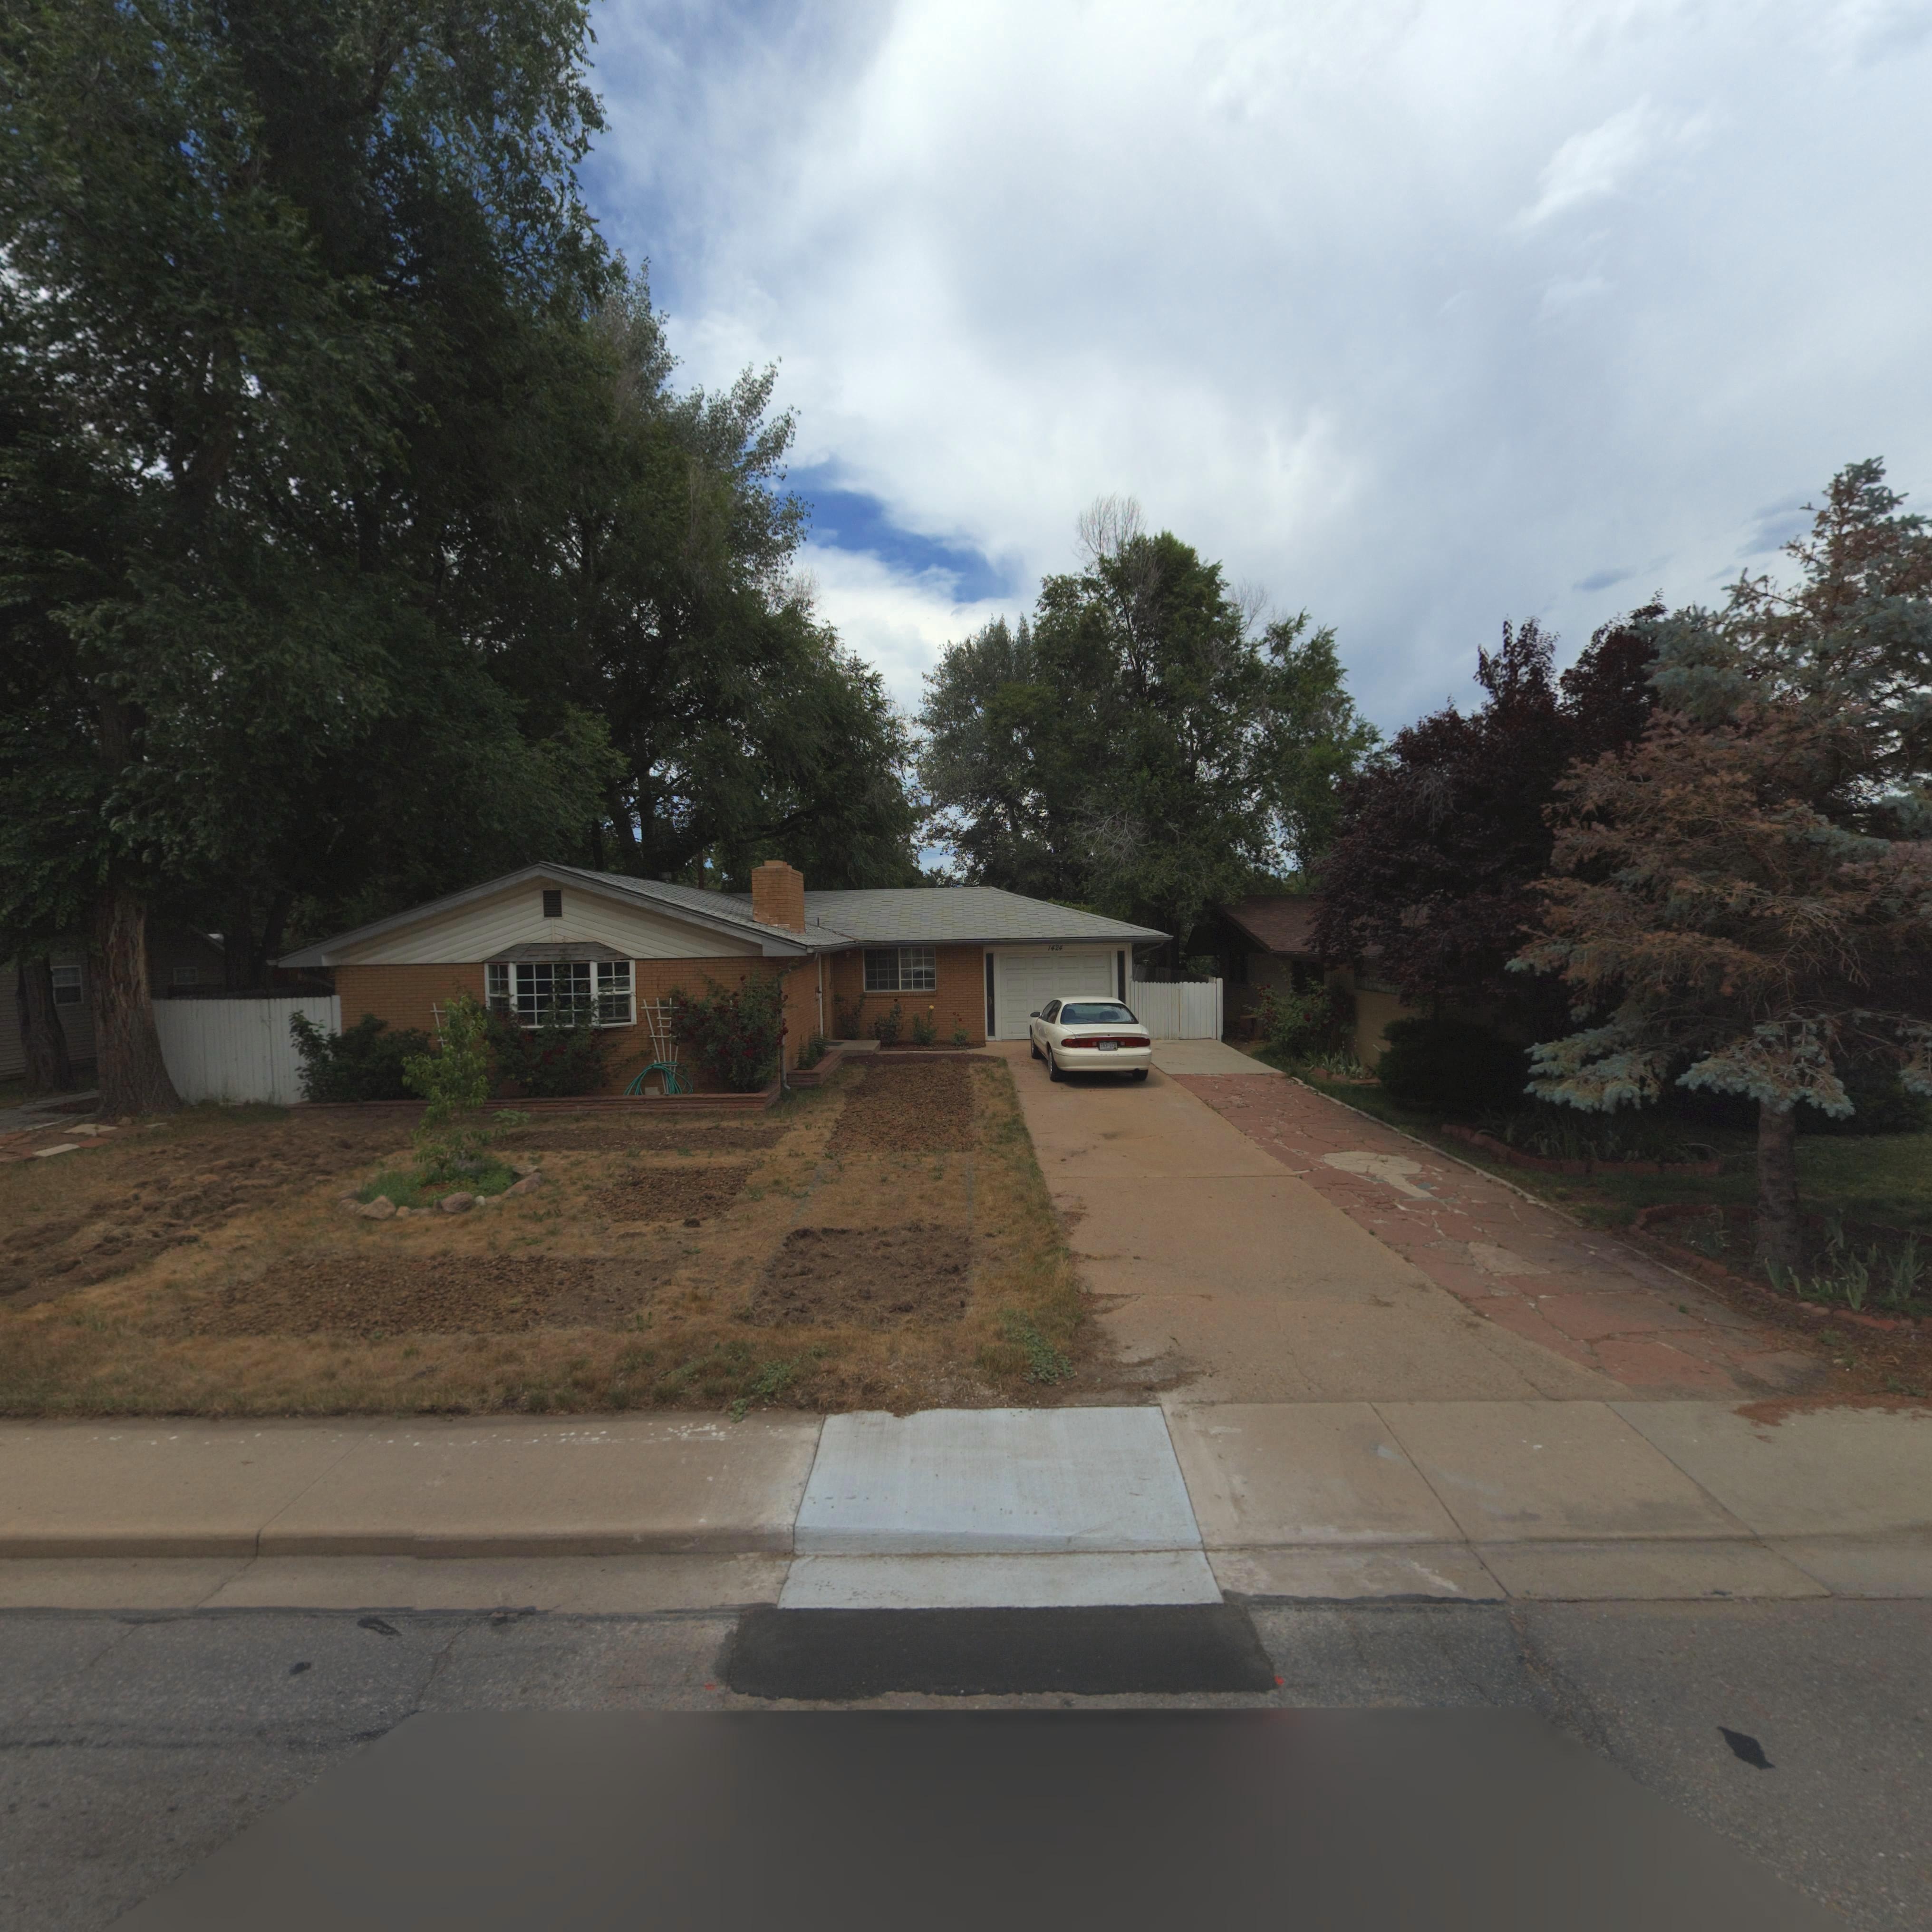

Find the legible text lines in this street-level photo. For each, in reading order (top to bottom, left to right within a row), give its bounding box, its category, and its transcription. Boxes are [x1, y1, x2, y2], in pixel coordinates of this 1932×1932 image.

[1047, 945, 1064, 951] StreetNumber: 1424